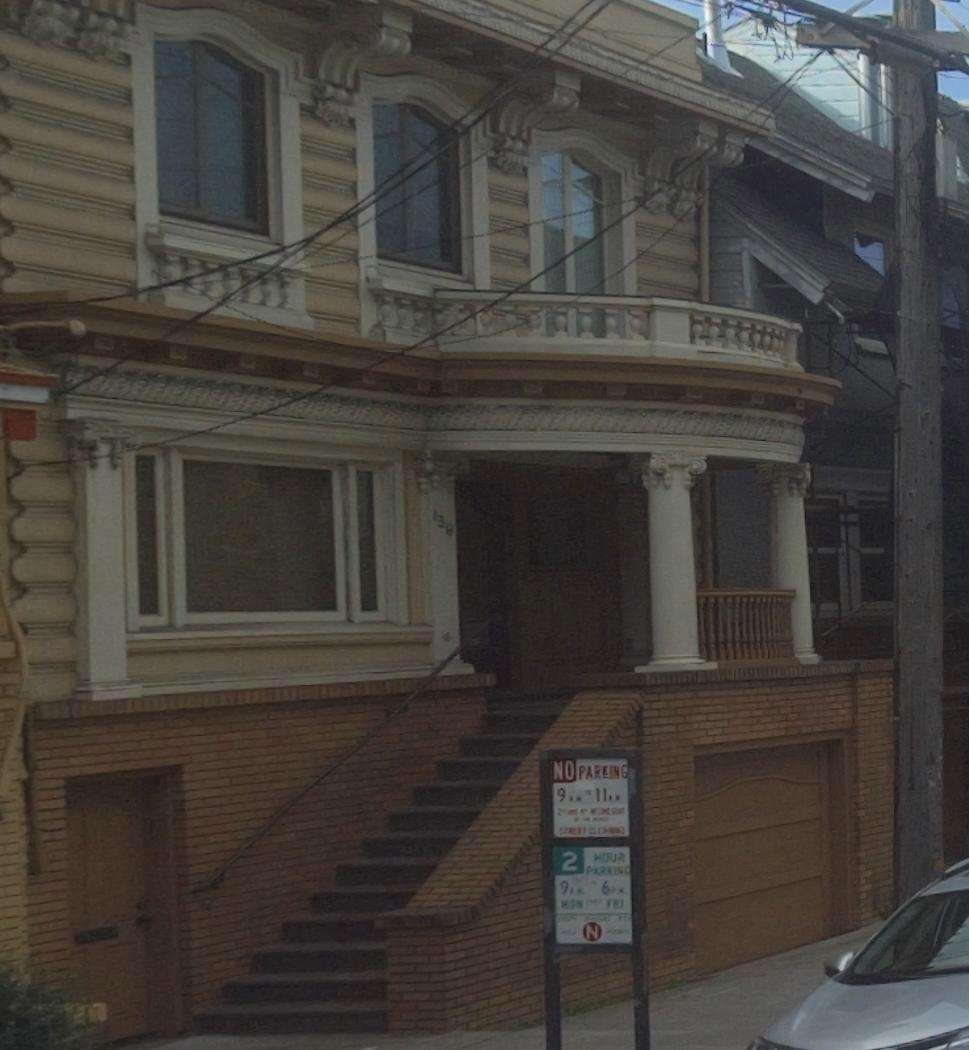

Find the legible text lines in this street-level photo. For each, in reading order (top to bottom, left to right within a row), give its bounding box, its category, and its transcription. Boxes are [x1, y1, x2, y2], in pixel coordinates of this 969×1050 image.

[431, 506, 455, 540] StreetNumber: 139
[553, 760, 629, 781] None: NO PARK**G
[556, 787, 566, 803] None: 9
[595, 787, 607, 802] None: 11
[560, 850, 579, 873] None: 2
[593, 851, 626, 864] None: HOUR
[585, 864, 631, 877] None: PARKING
[559, 879, 570, 896] None: 9
[600, 880, 611, 897] None: 6
[558, 897, 585, 912] None: MON
[611, 897, 627, 912] None: RI
[586, 924, 599, 940] None: N